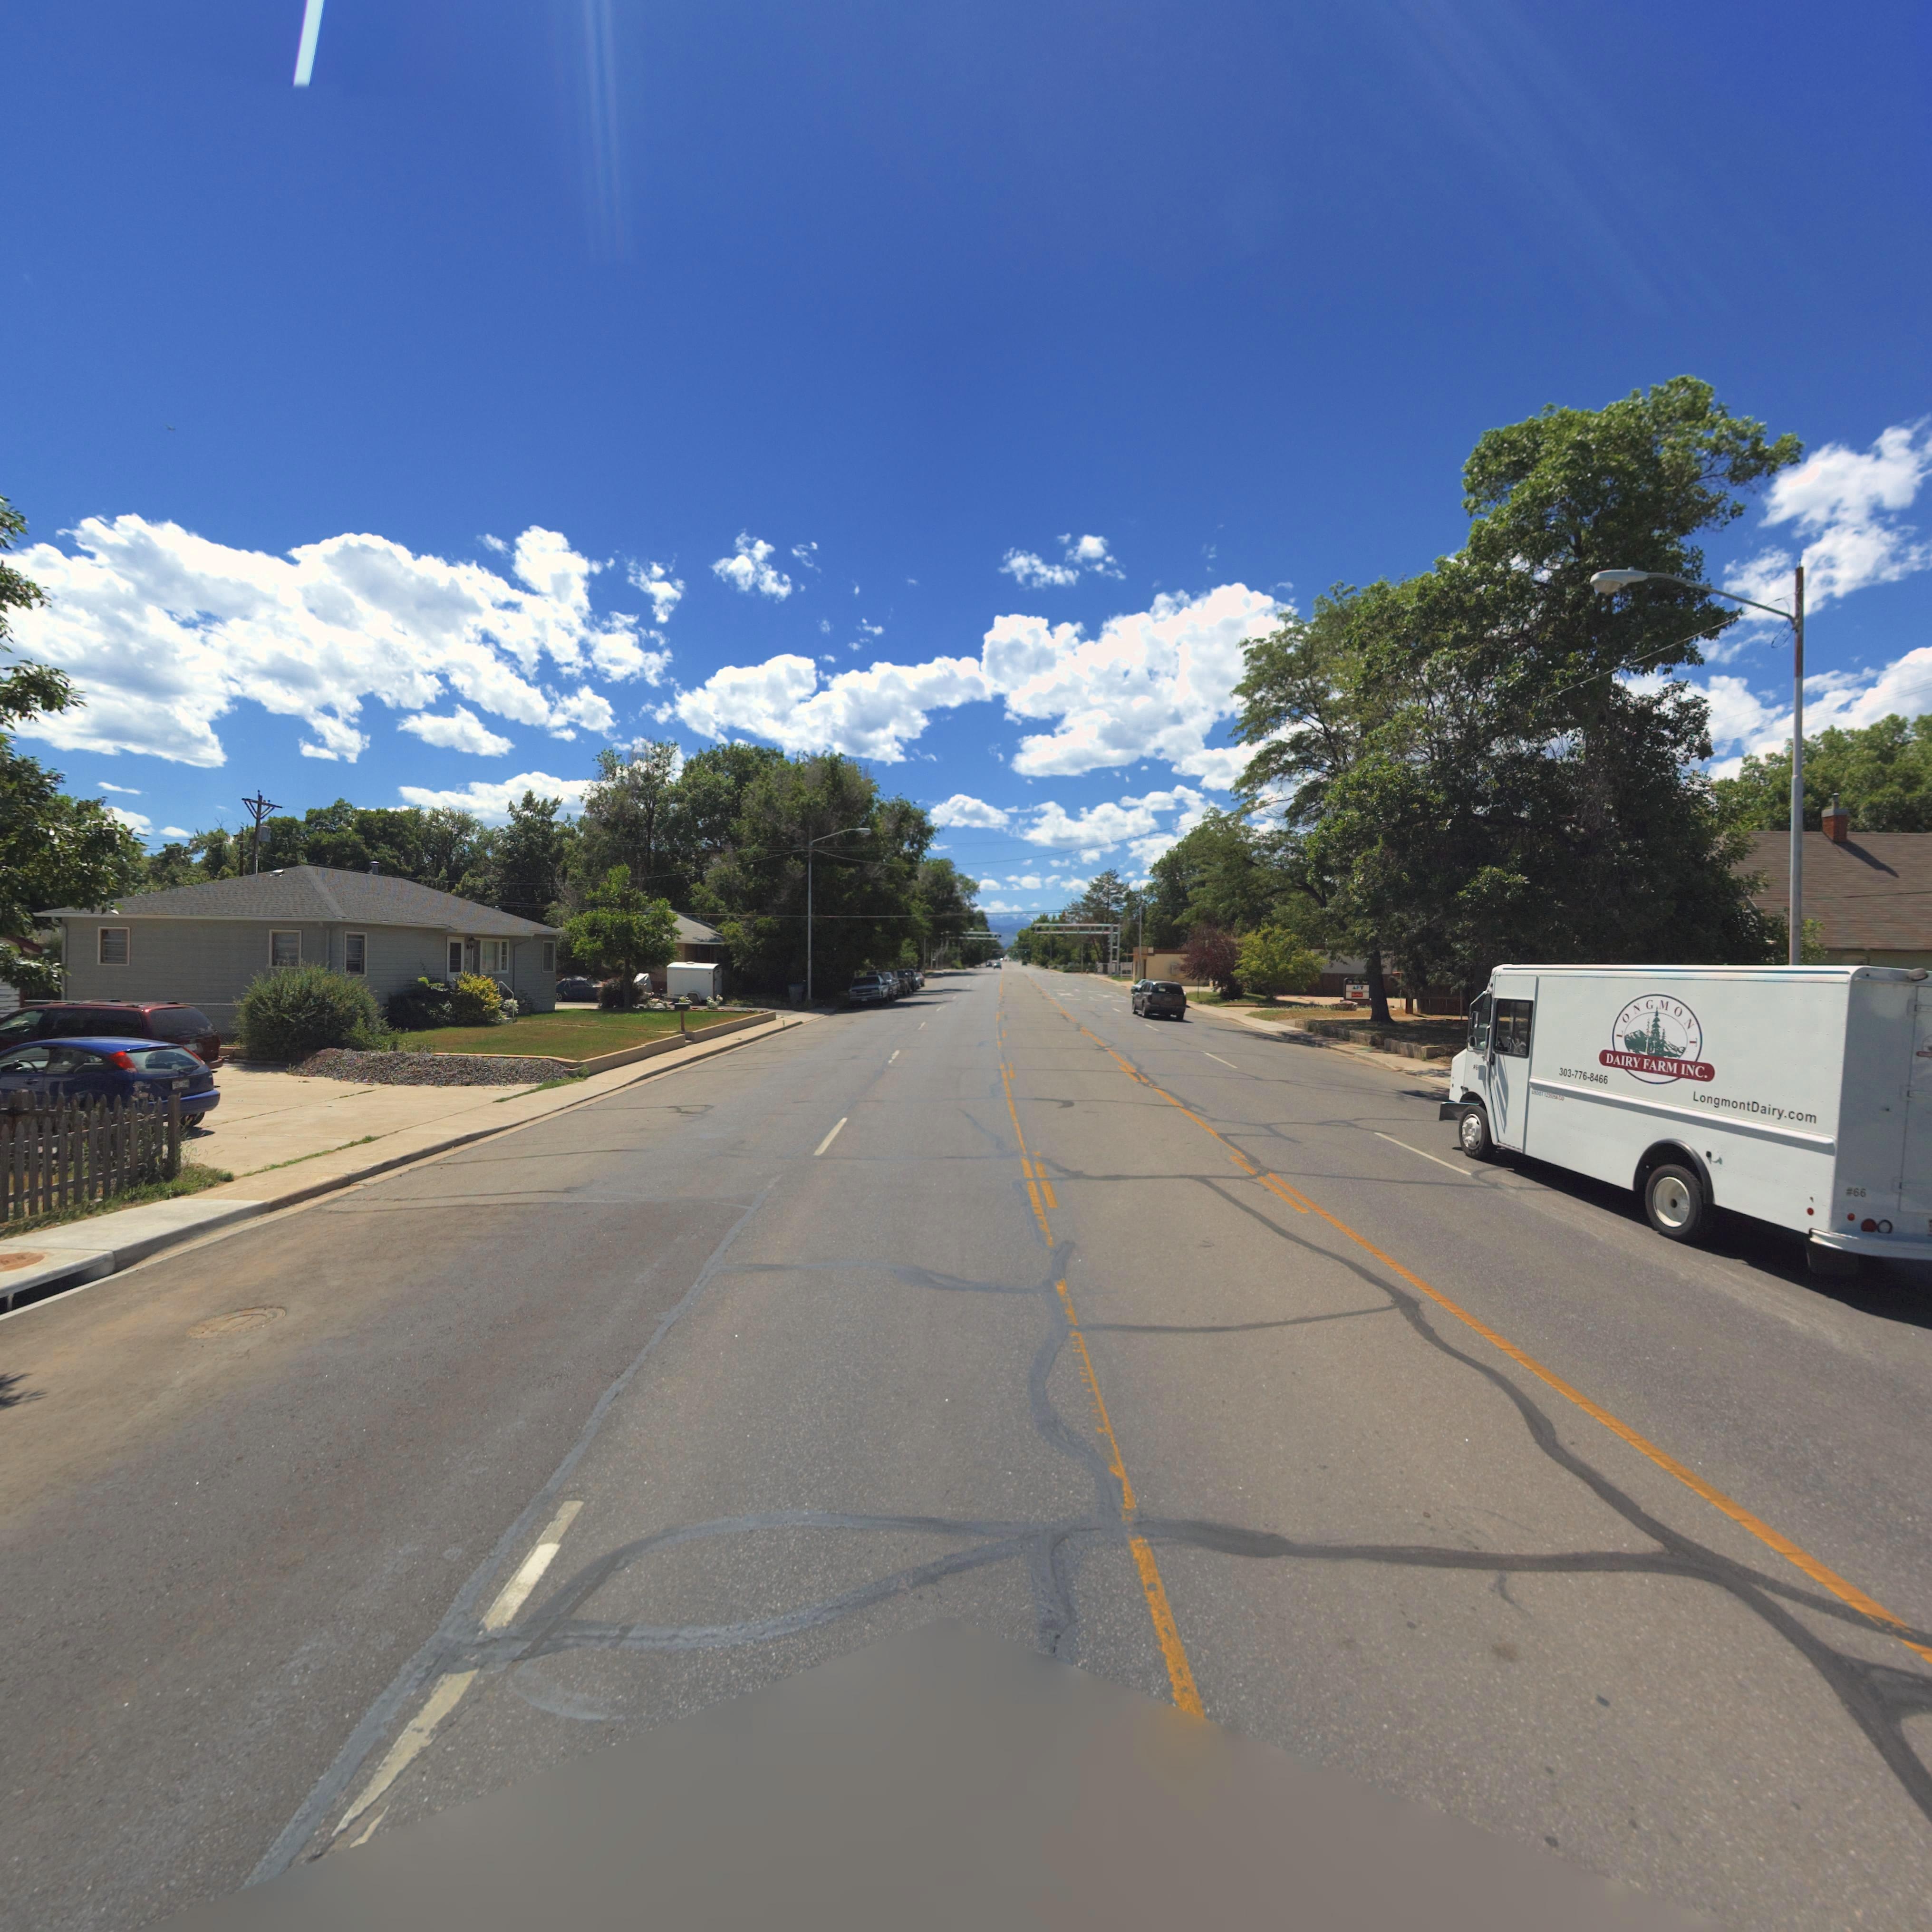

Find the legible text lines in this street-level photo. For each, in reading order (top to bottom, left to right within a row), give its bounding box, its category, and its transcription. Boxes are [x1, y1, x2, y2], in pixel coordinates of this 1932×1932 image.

[1356, 985, 1364, 989] BusinessName: FY